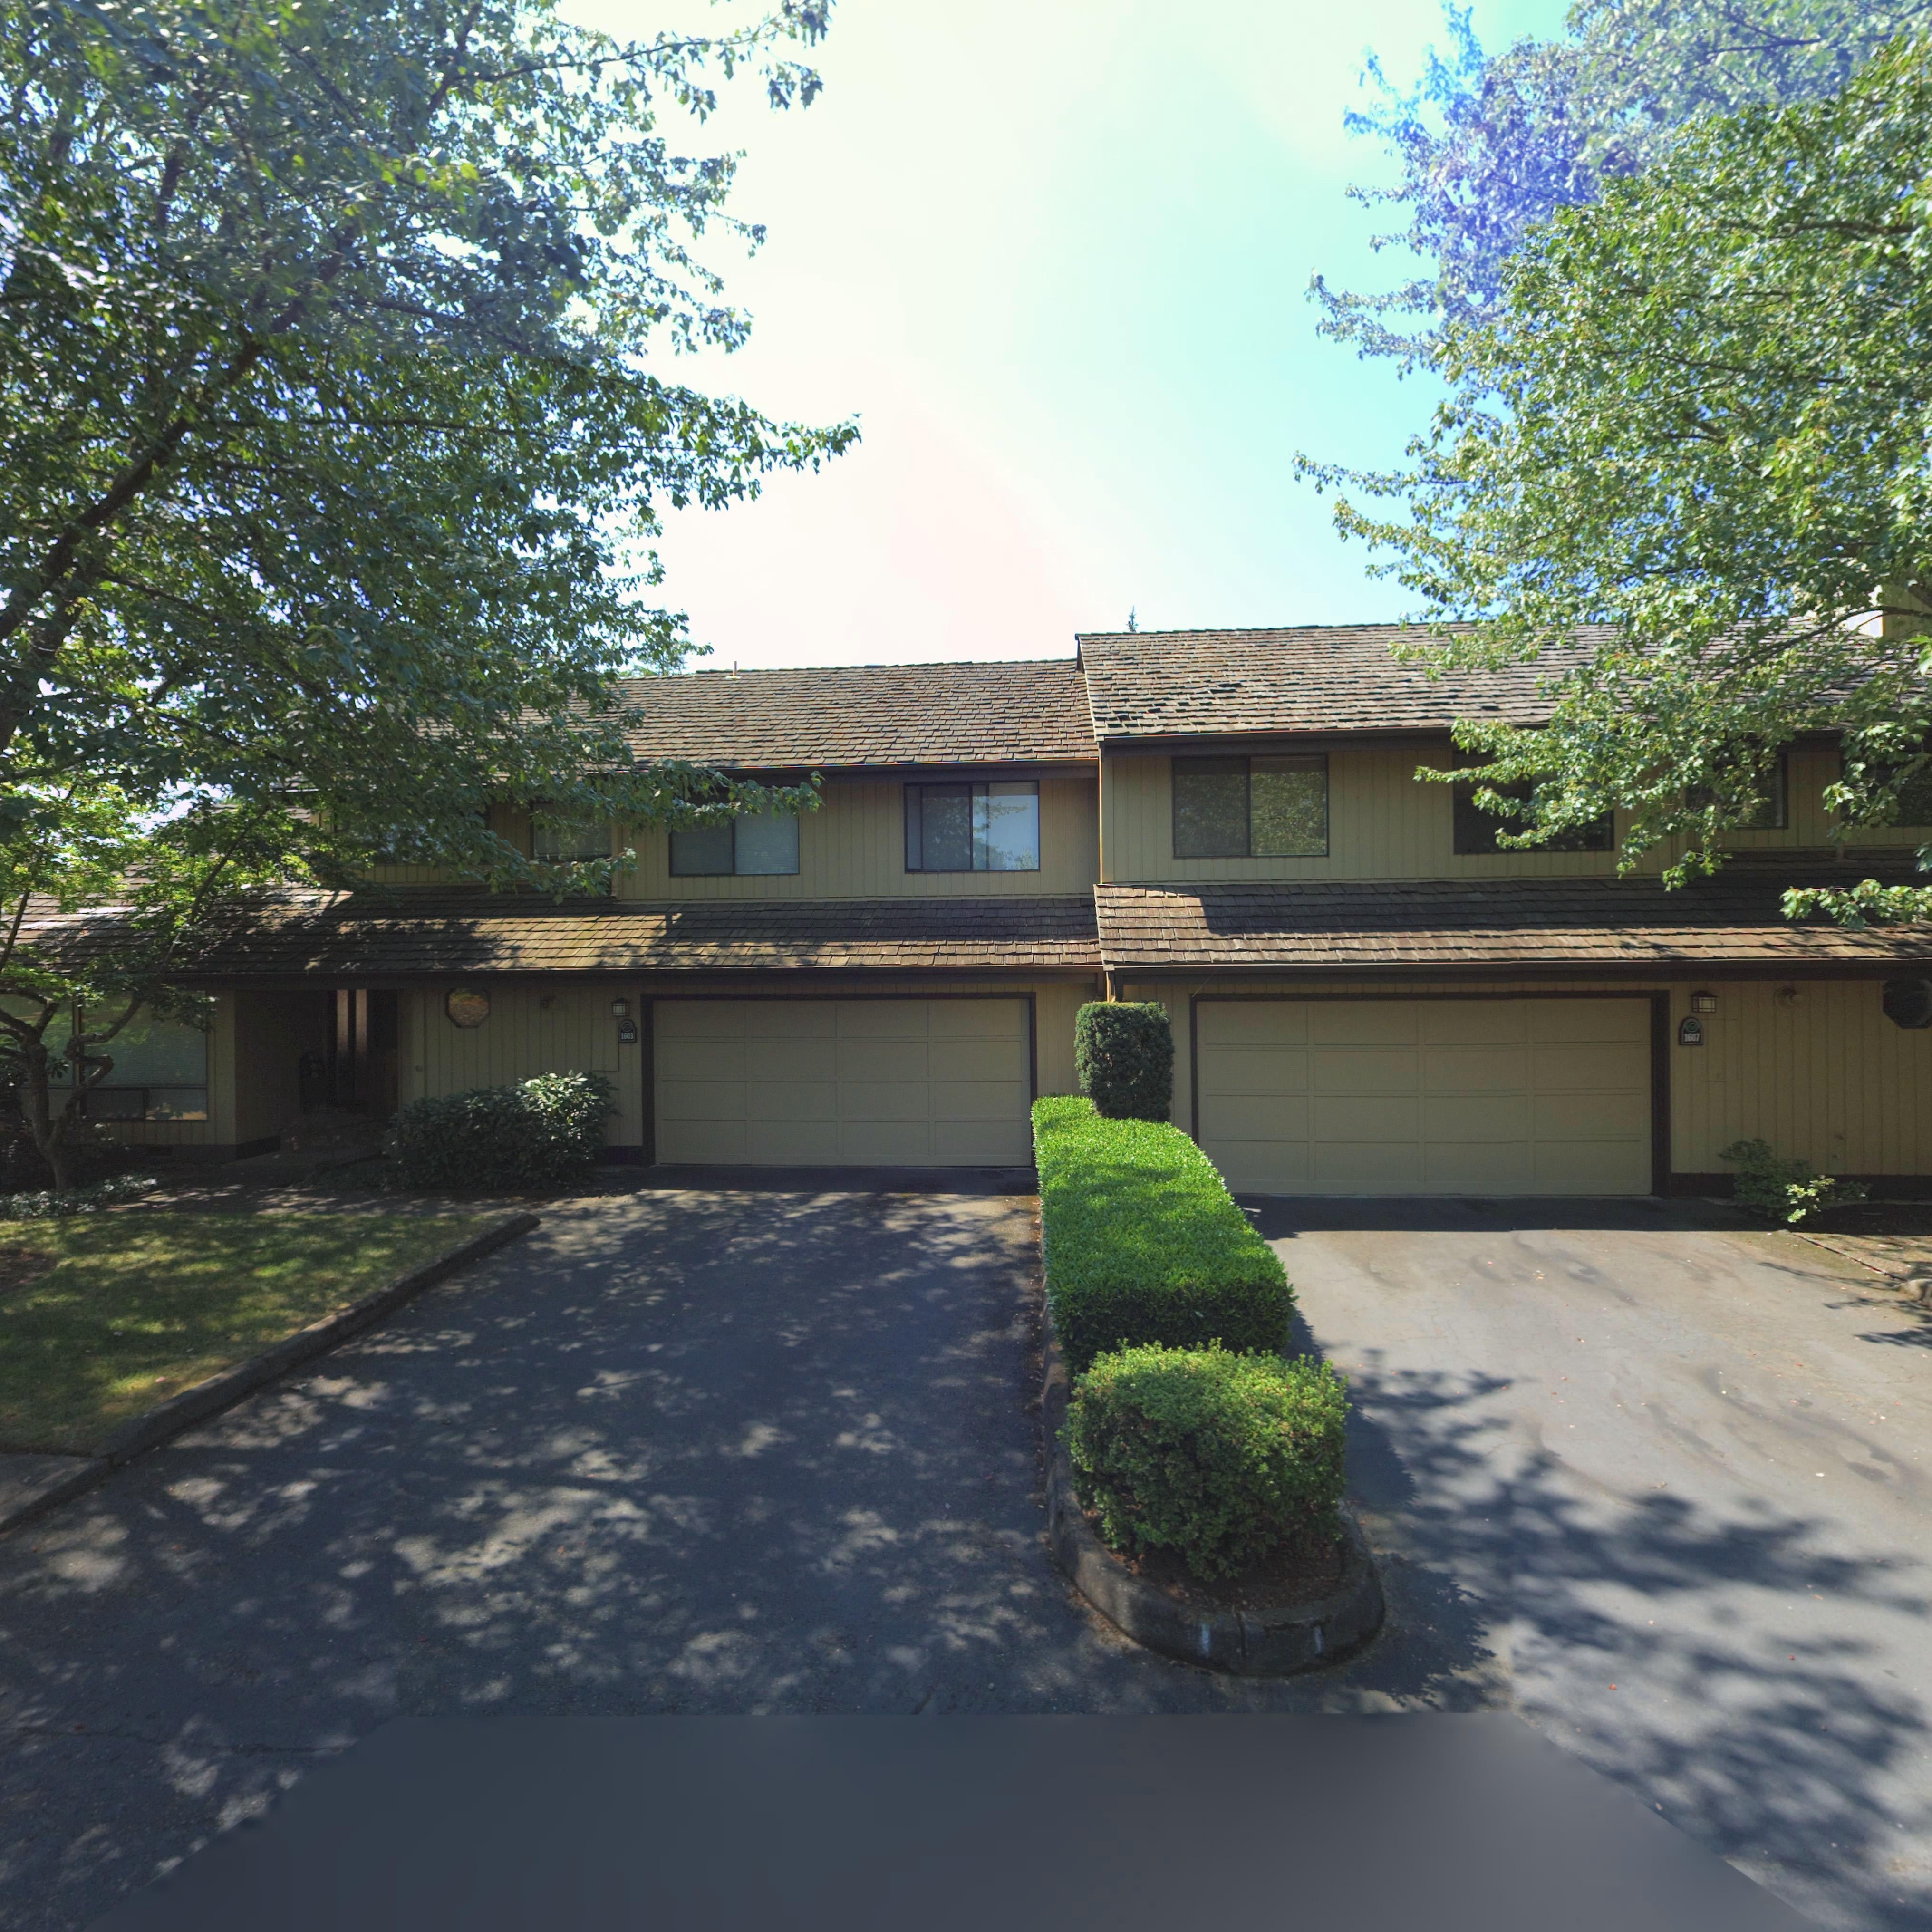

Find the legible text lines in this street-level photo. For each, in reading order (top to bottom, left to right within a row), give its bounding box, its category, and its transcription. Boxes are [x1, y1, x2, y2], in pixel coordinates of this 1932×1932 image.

[620, 1032, 633, 1039] StreetNumber: 1603